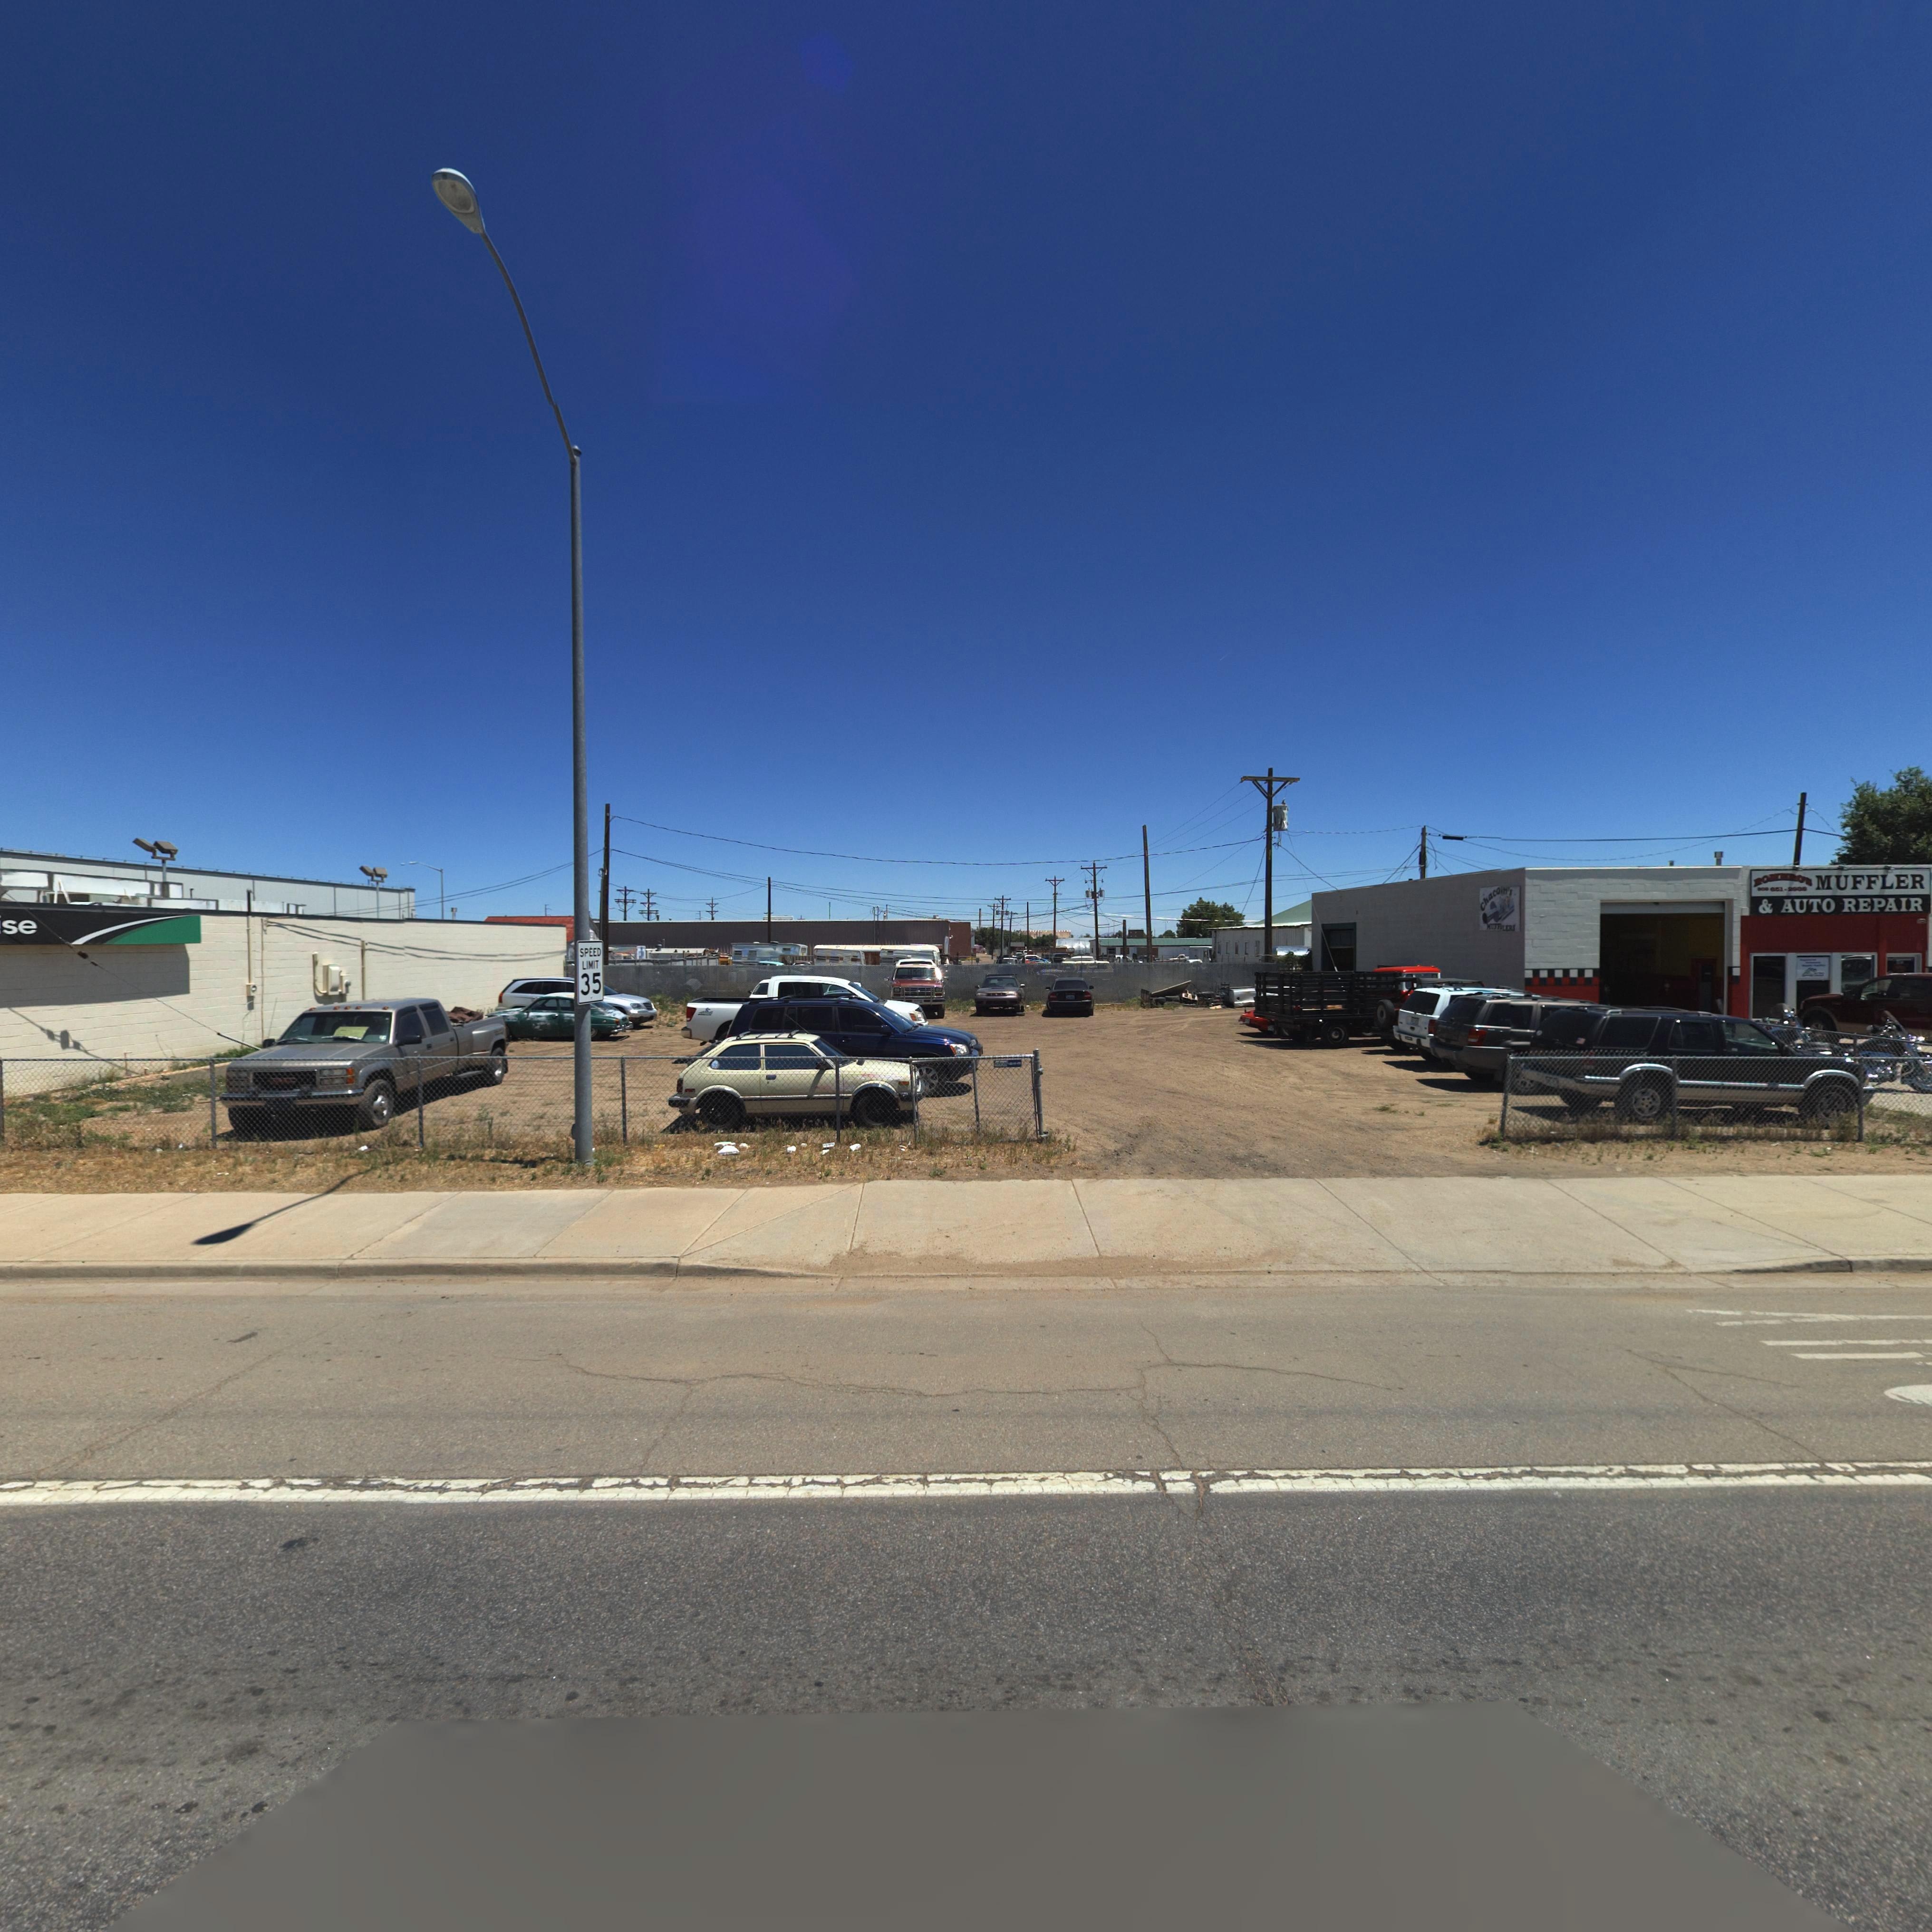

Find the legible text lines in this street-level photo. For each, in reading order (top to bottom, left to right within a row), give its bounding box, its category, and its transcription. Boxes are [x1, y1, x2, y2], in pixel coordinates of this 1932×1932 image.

[1752, 871, 1814, 888] BusinessName: ROMERO'S
[1814, 872, 1926, 890] BusinessName: MUFFLER
[1479, 887, 1513, 912] BusinessName: Chac***
[1758, 896, 1923, 915] BusinessName: & AUTO REPAIR
[1, 919, 38, 935] BusinessName: se
[1486, 923, 1516, 932] StreetName: MUFF*LERS